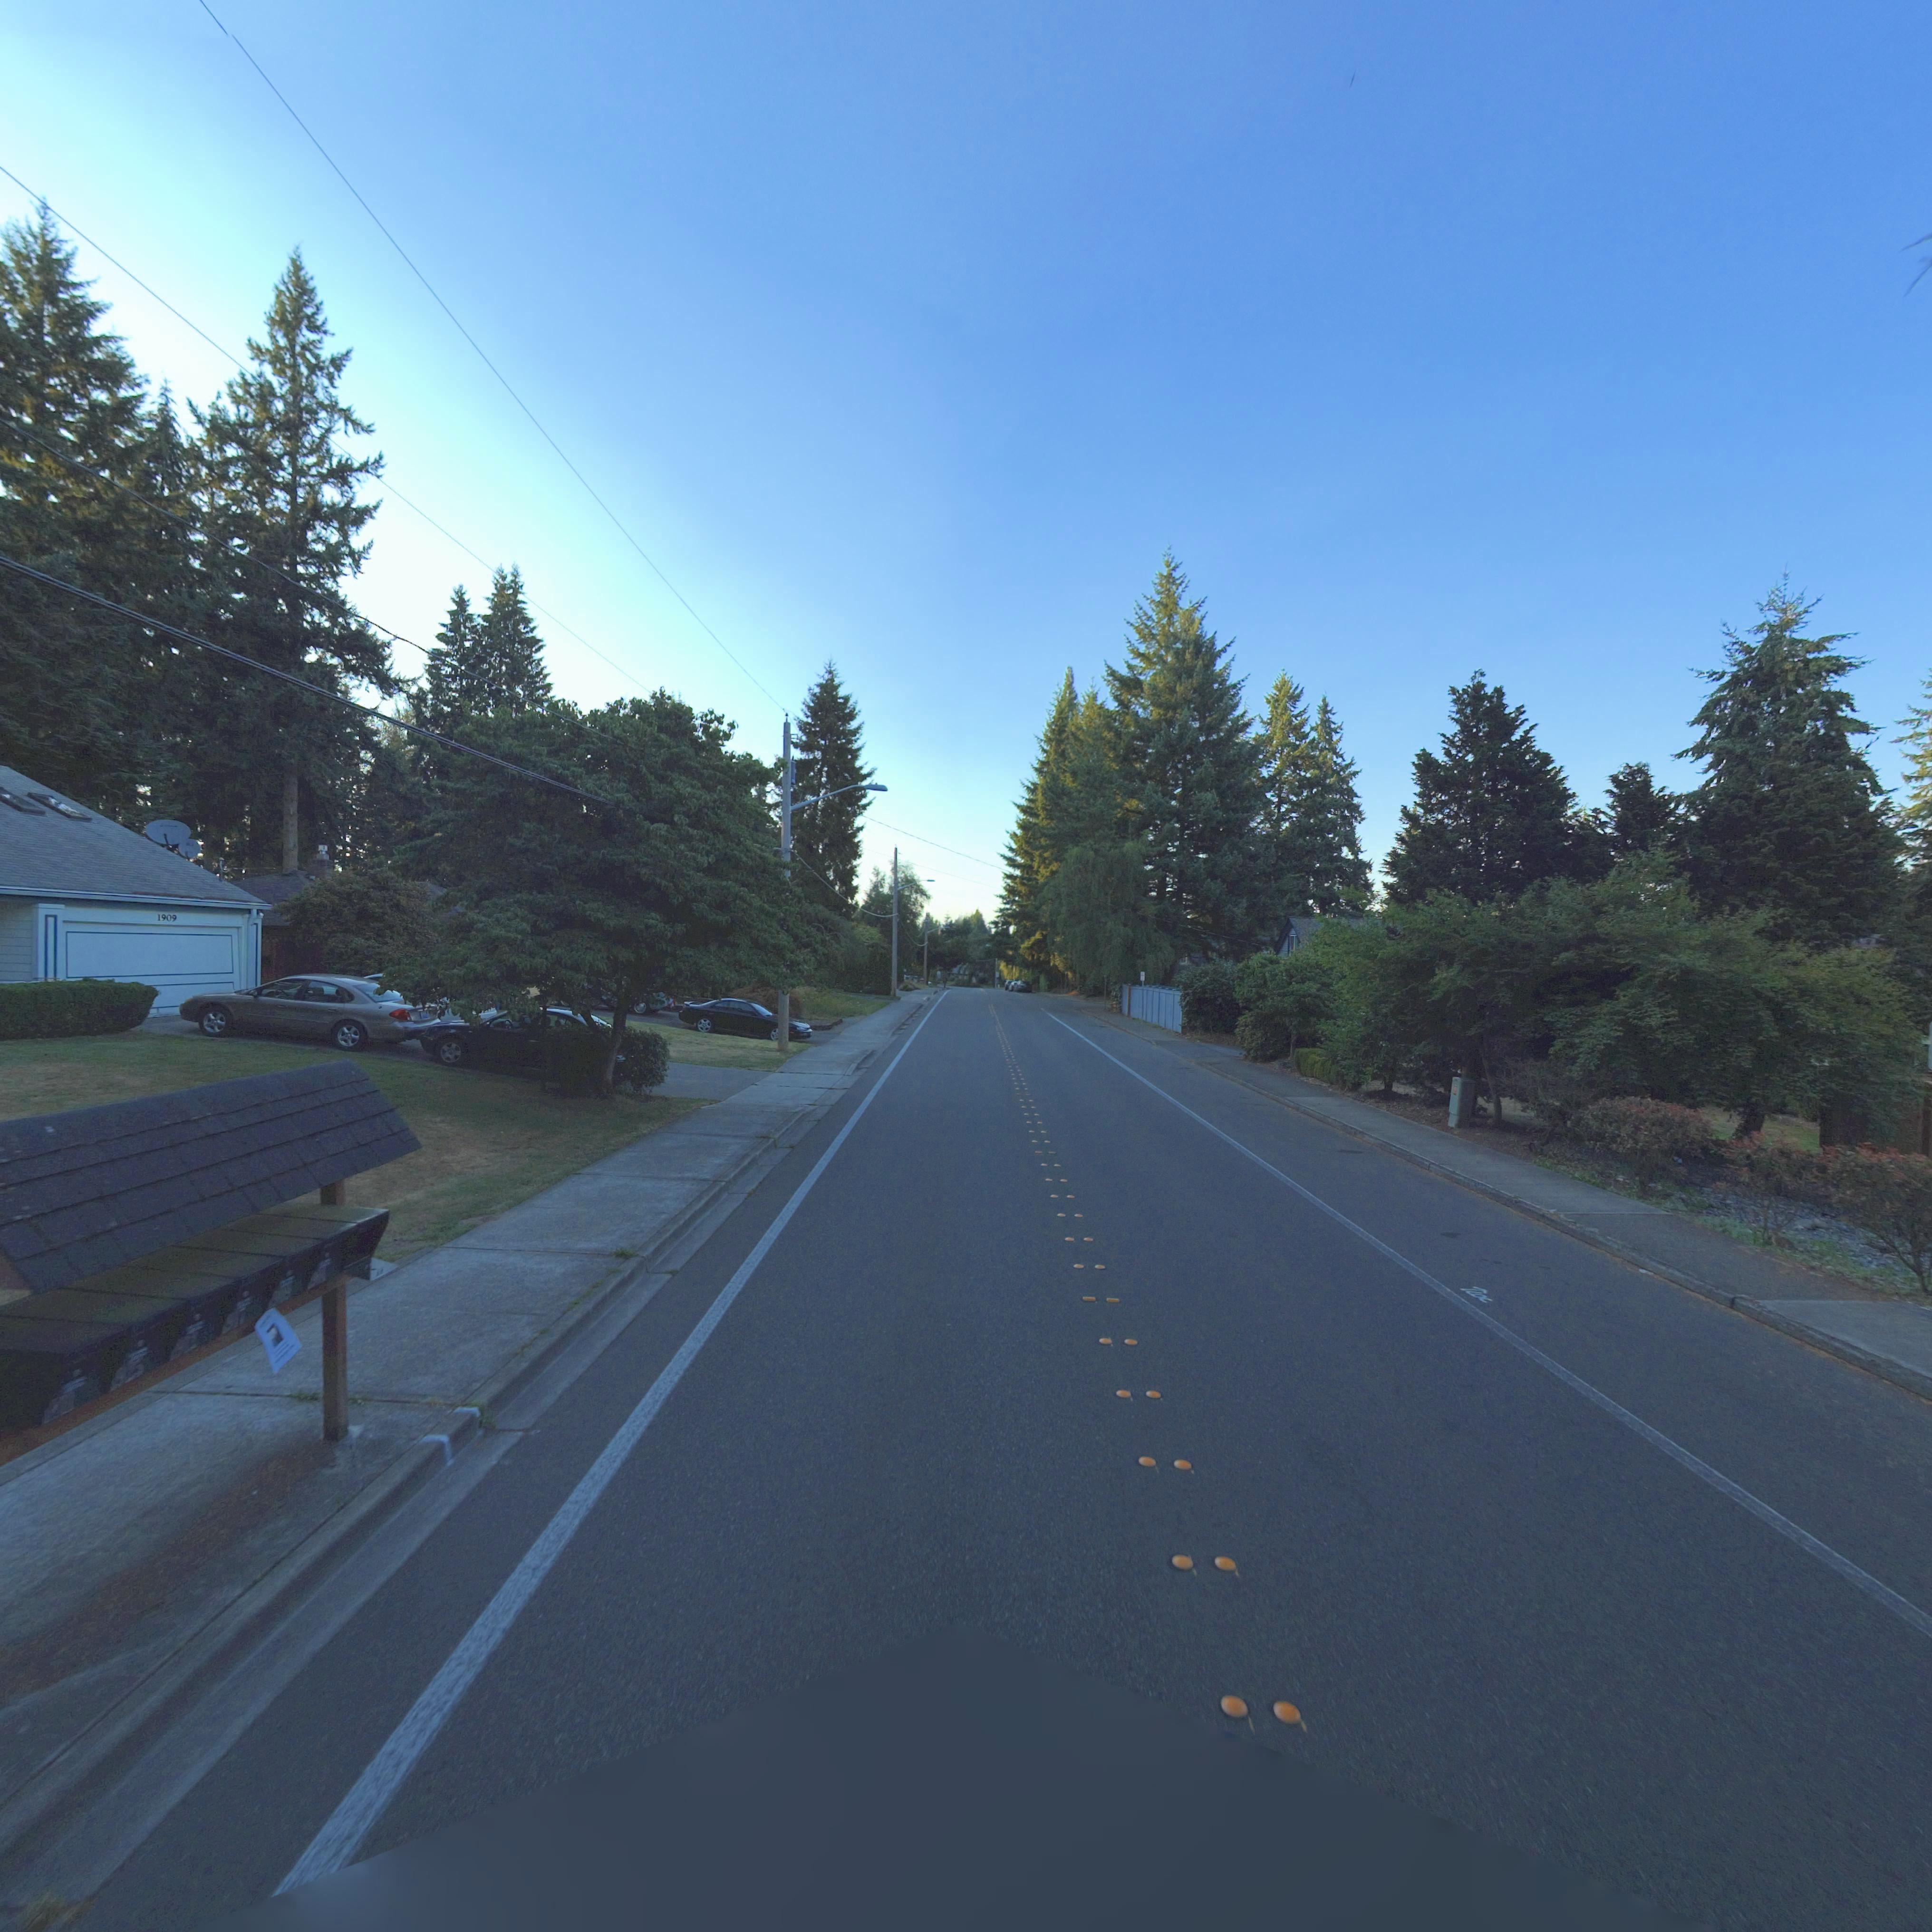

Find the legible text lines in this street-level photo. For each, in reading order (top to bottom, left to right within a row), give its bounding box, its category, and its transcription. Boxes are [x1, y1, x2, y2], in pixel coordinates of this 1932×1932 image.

[156, 913, 177, 922] StreetNumber: 1909